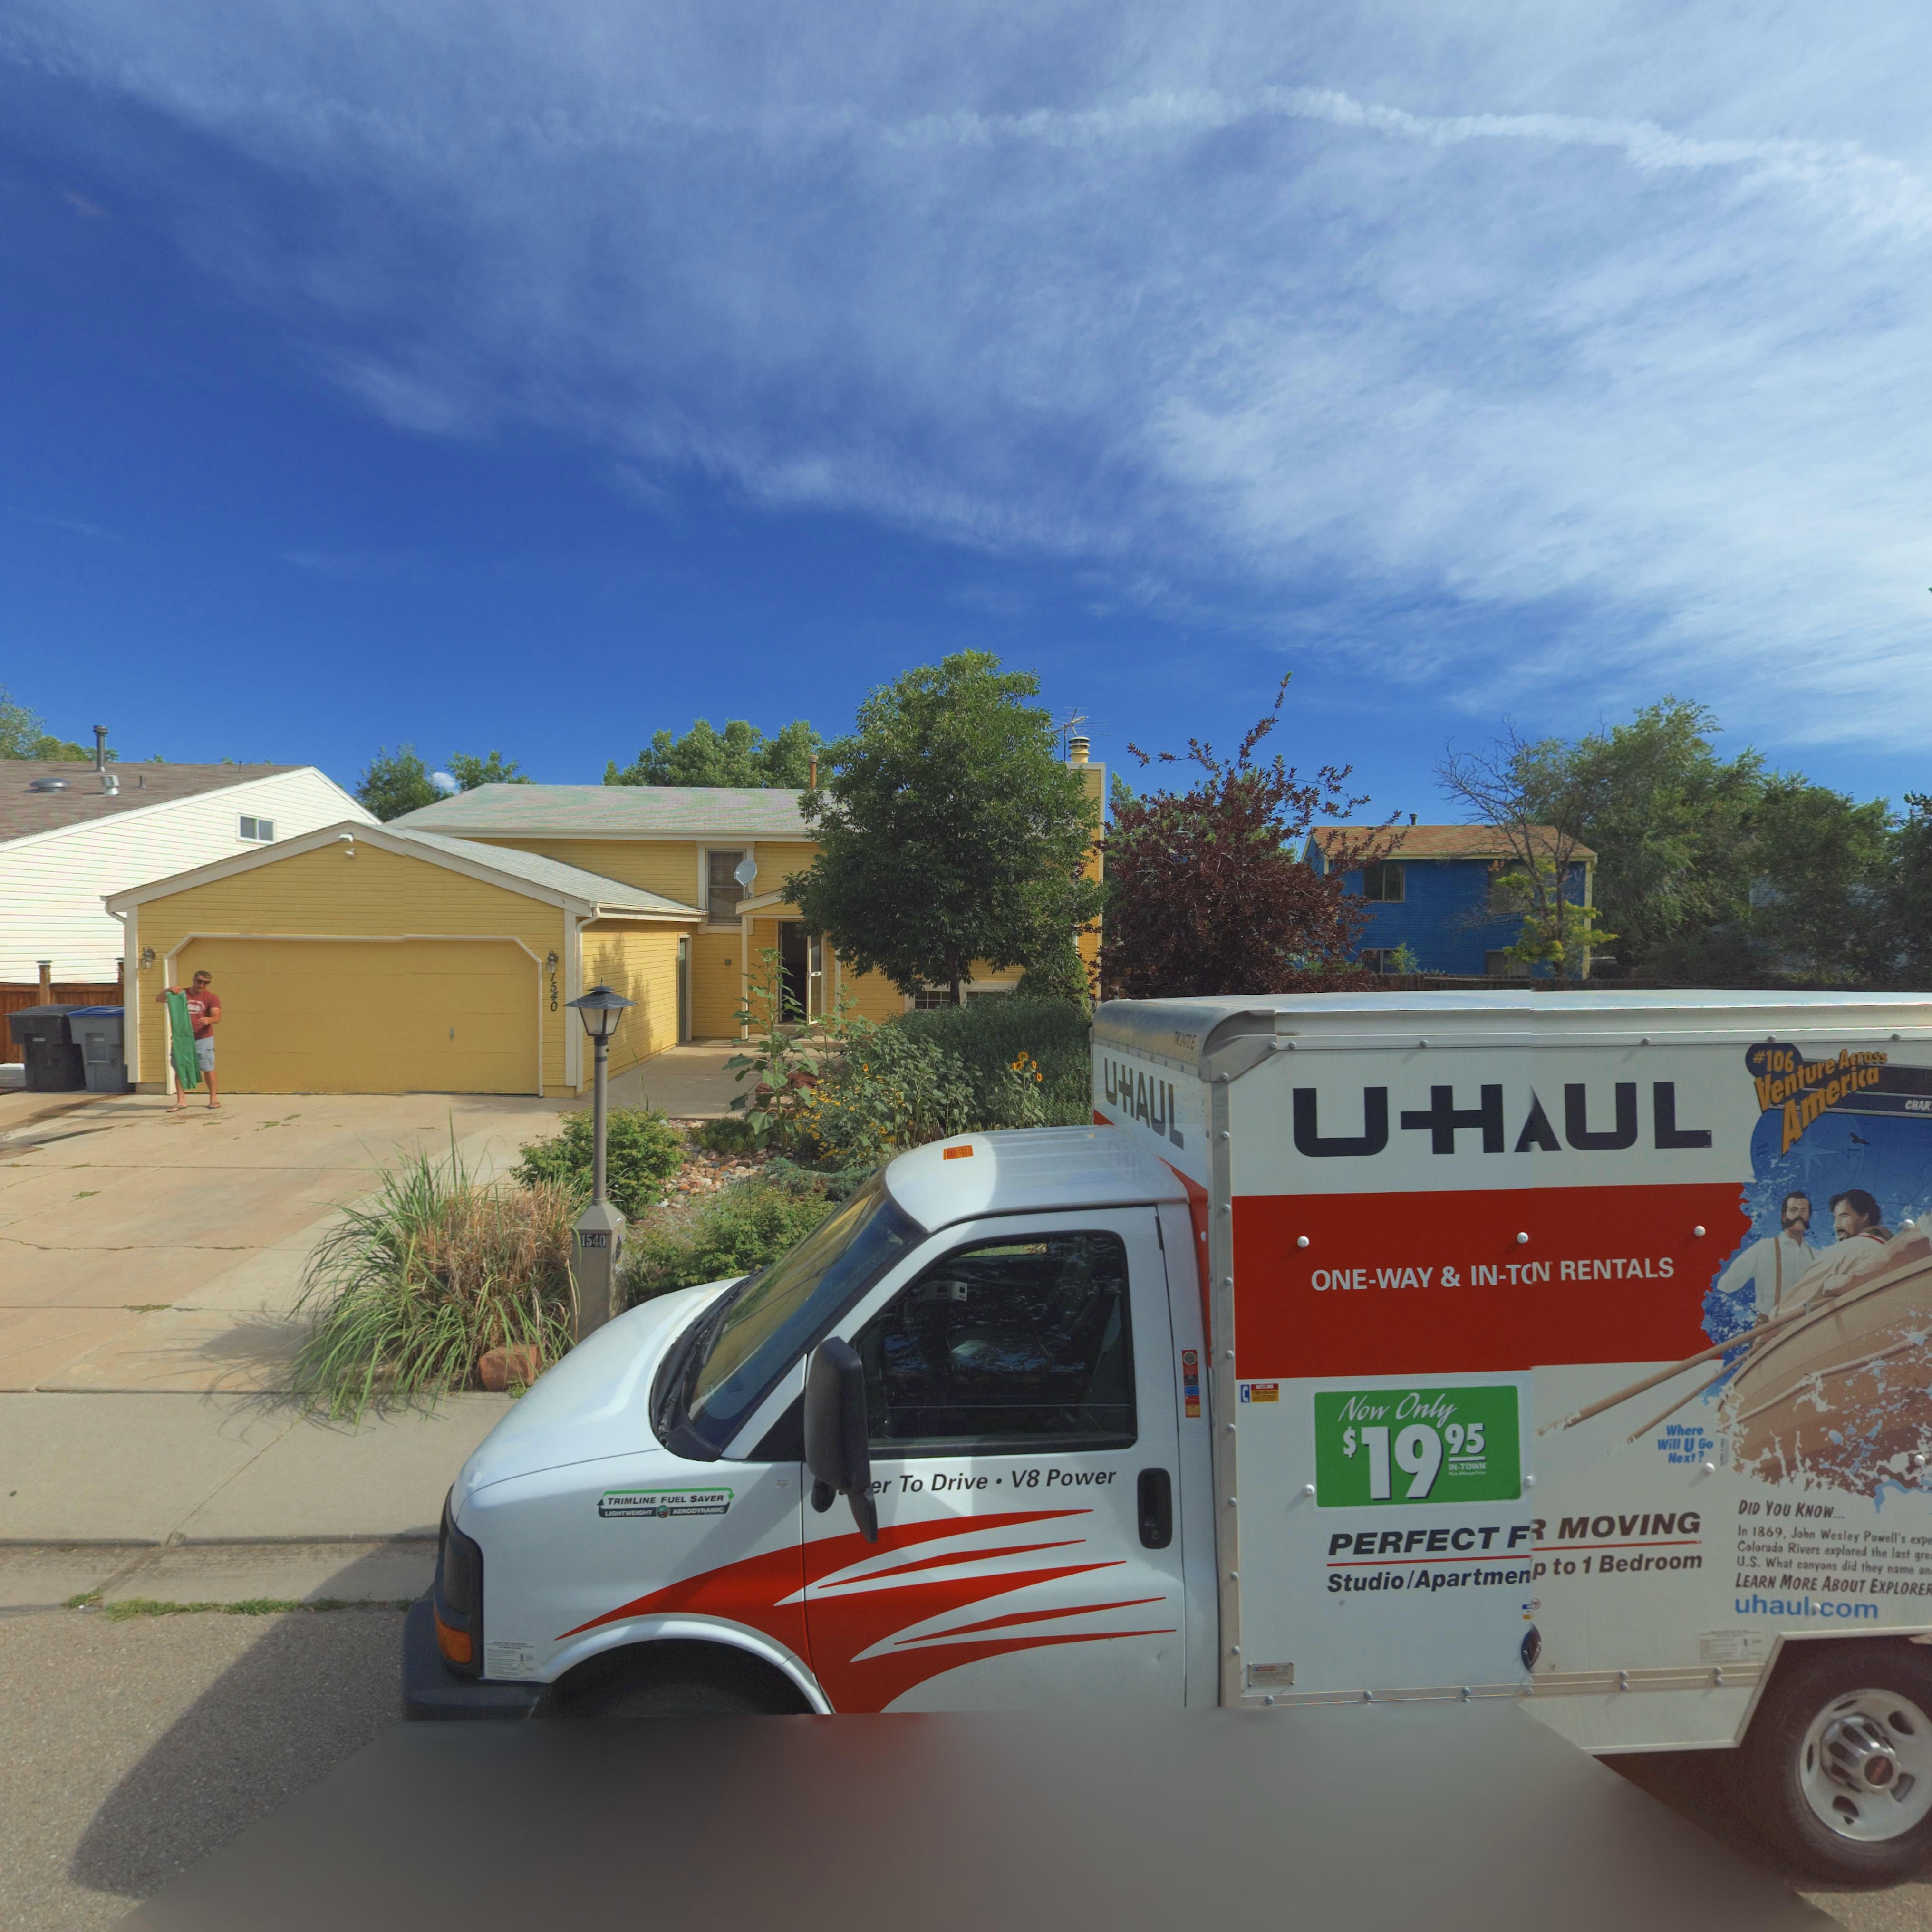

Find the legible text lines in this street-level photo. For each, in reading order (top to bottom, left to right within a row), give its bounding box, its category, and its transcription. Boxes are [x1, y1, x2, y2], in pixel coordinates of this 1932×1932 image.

[549, 972, 558, 1012] StreetNumber: 1540
[581, 1234, 606, 1247] StreetNumber: 1540